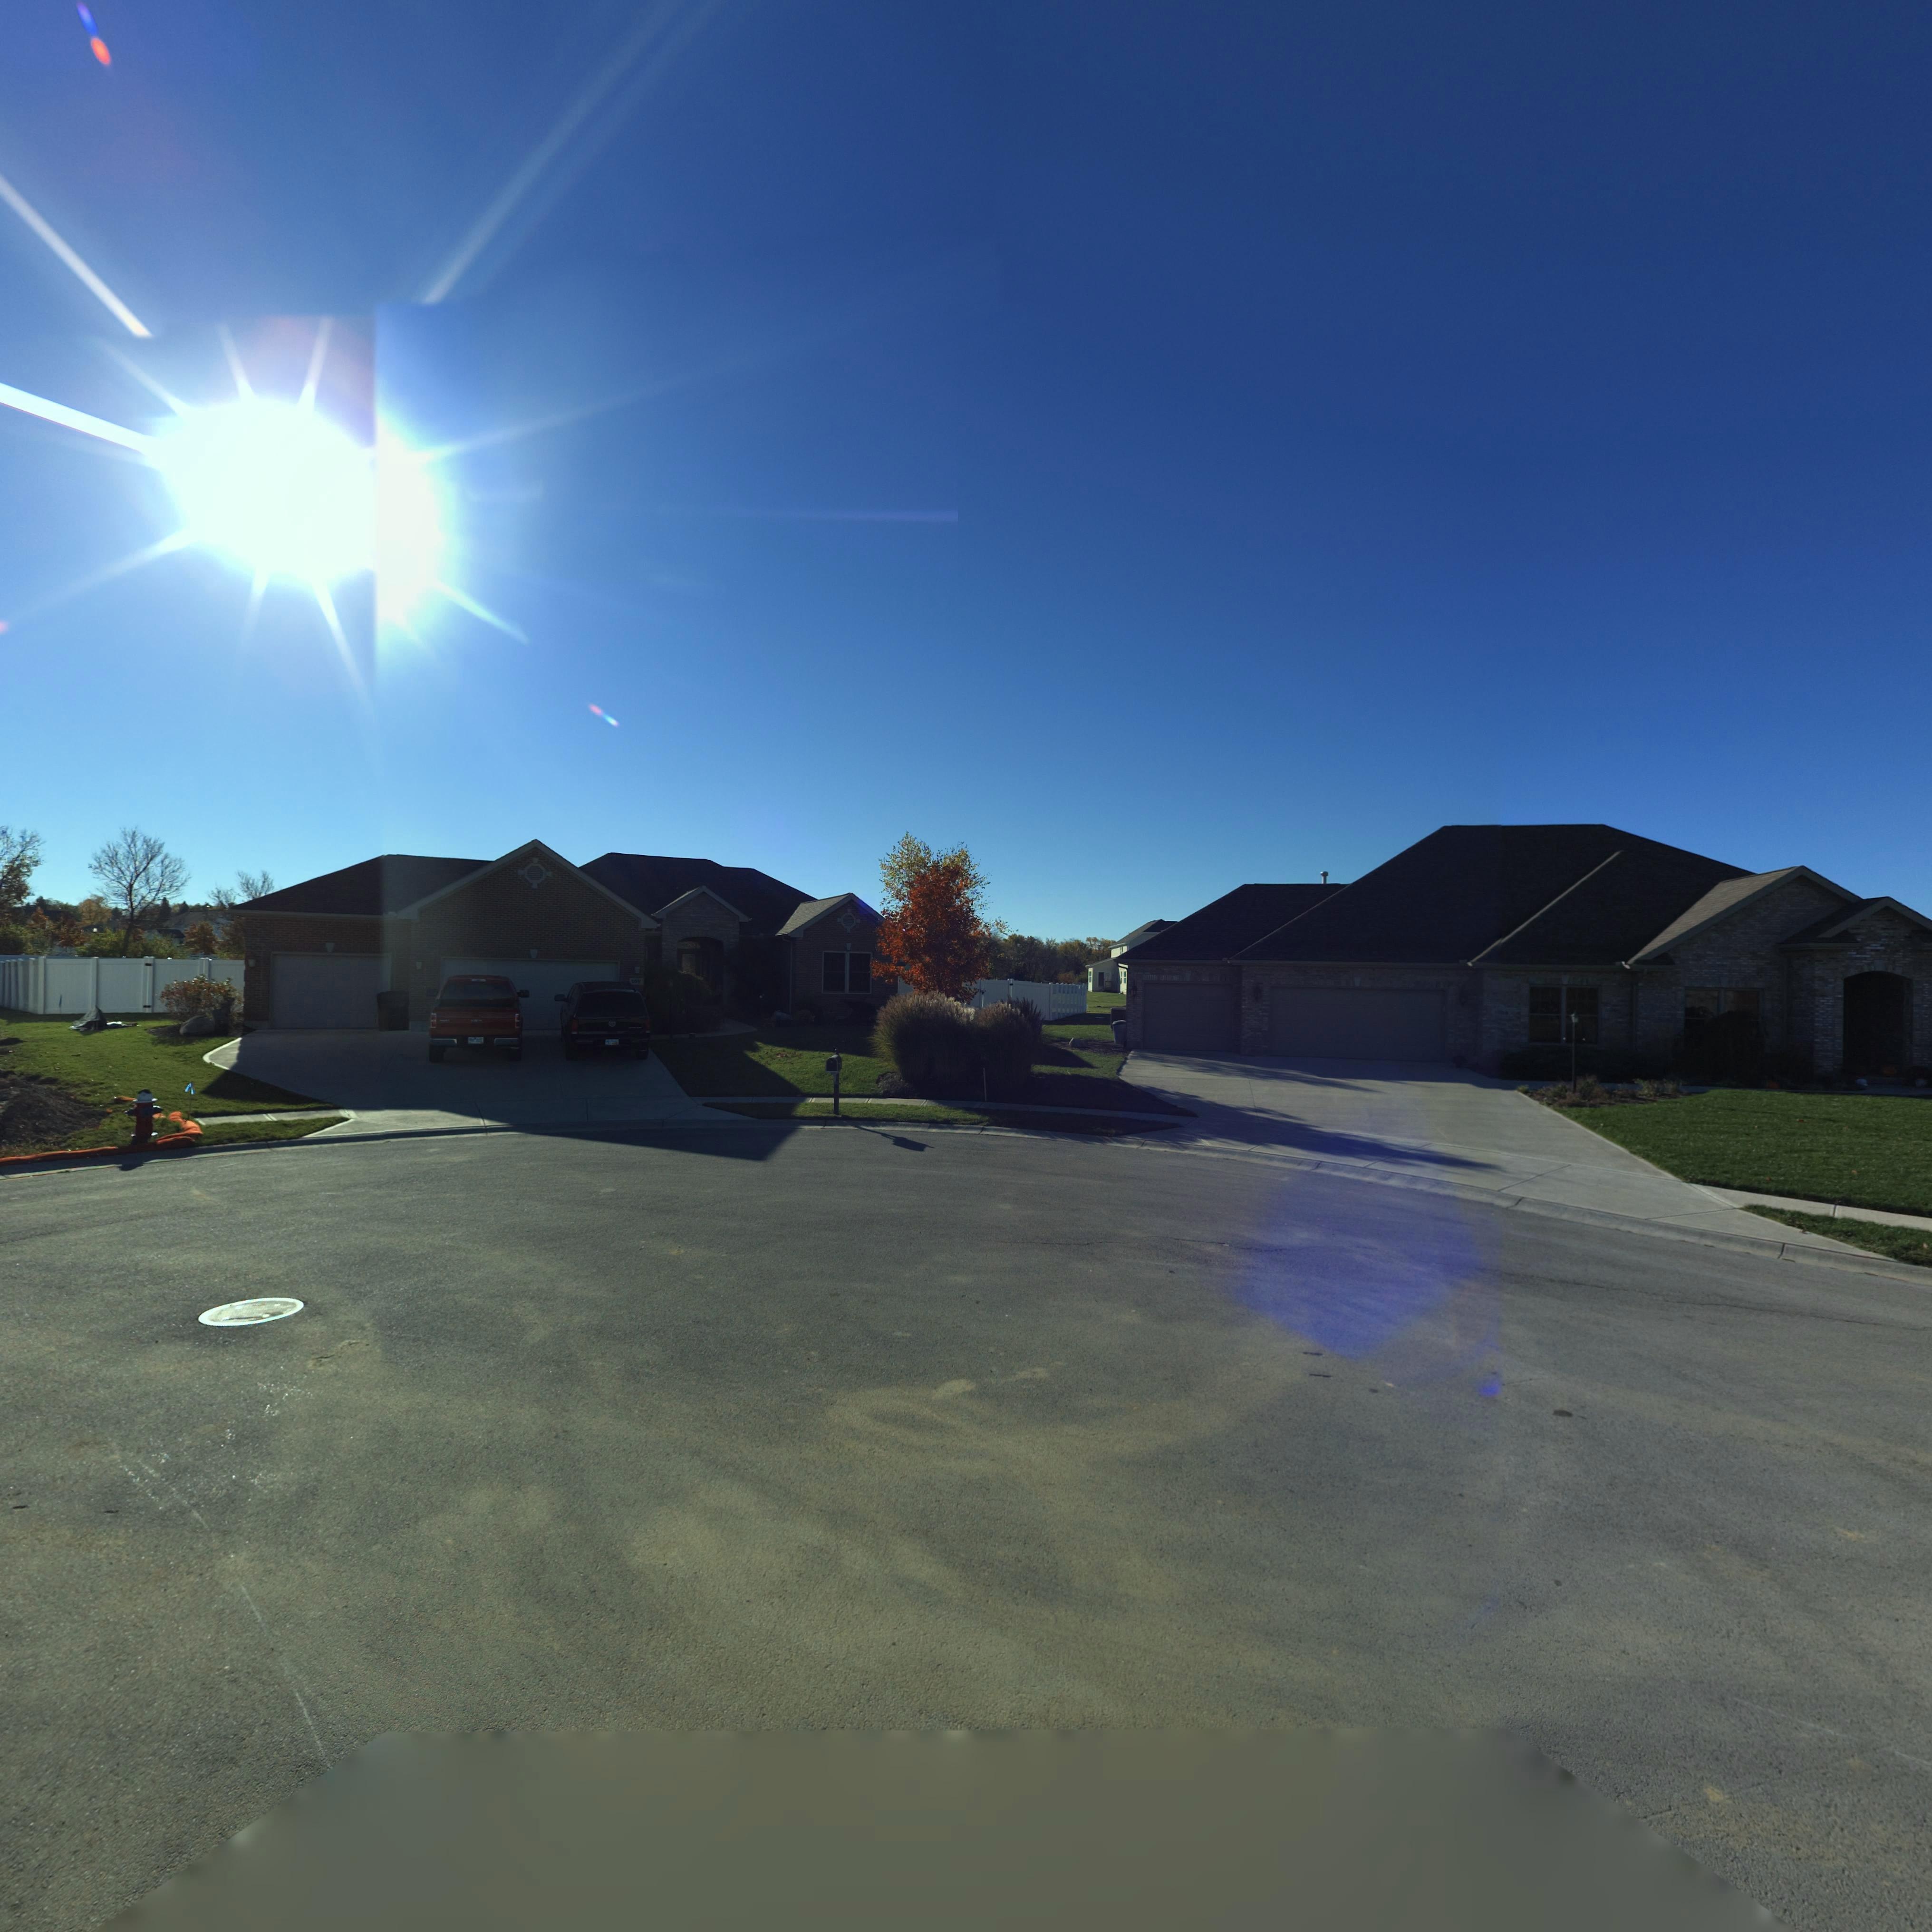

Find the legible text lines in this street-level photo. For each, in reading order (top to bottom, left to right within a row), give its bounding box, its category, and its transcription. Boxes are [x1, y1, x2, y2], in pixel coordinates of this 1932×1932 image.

[630, 979, 642, 984] StreetNumber: 107